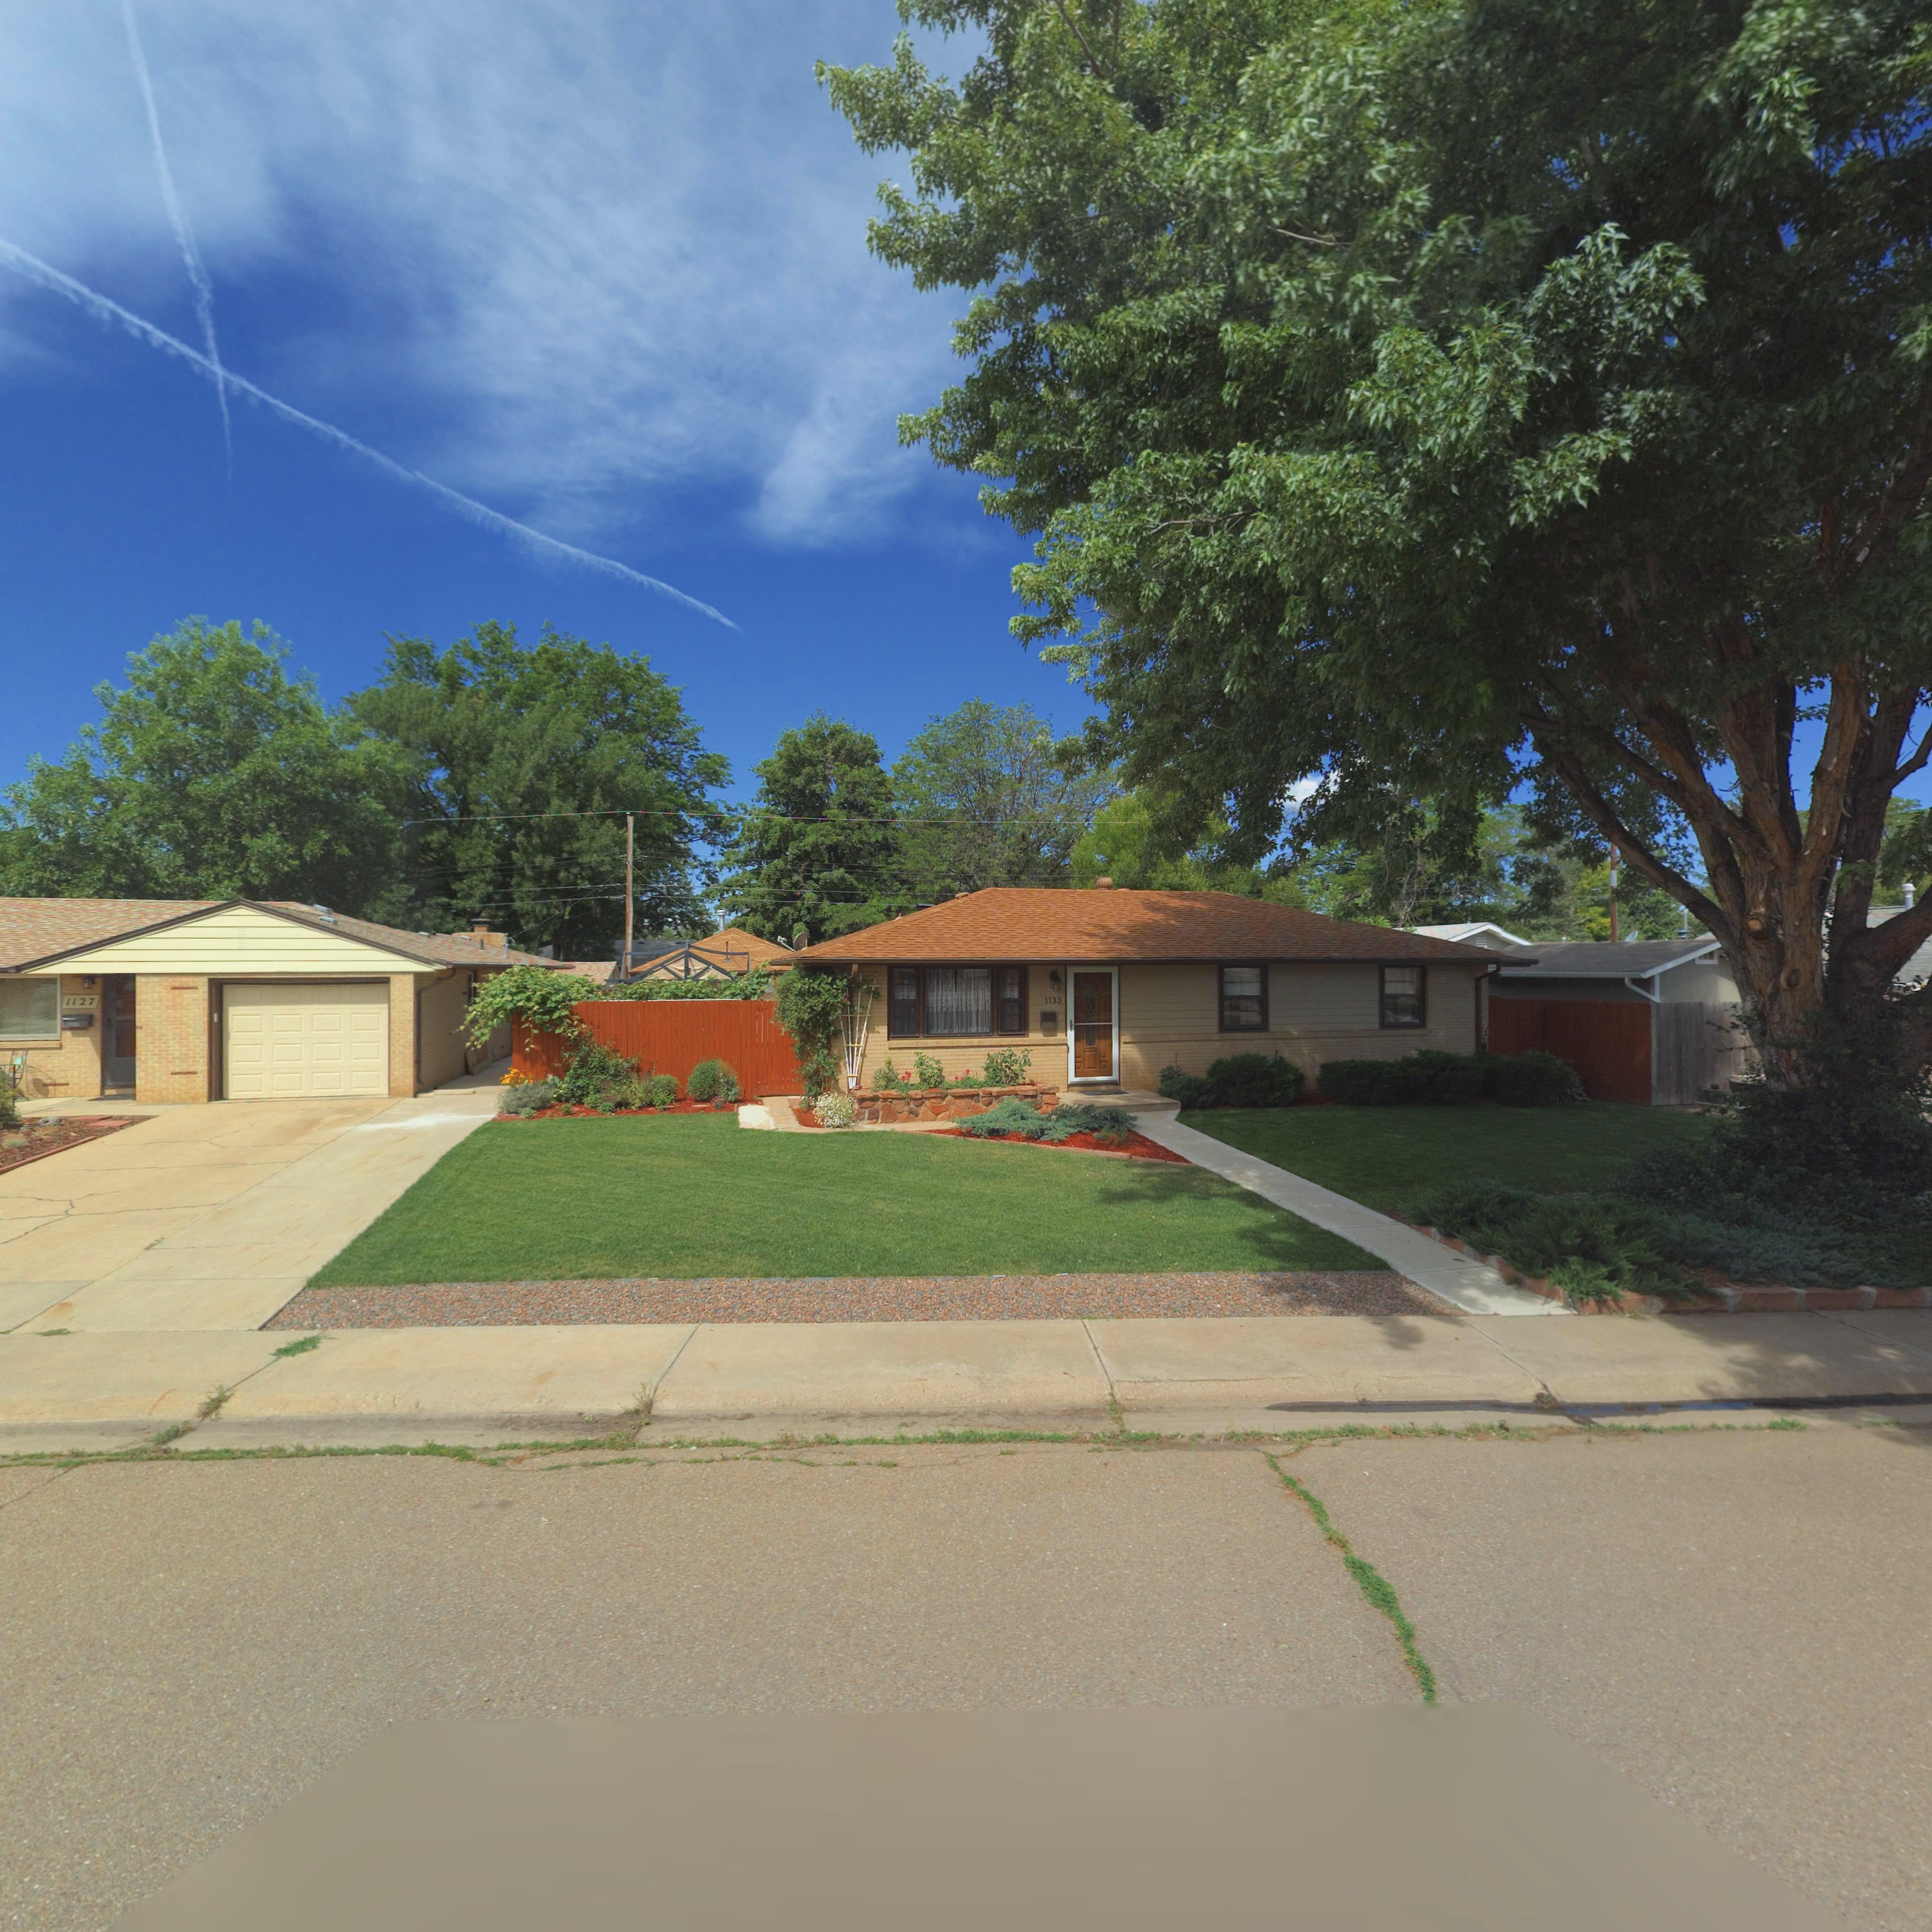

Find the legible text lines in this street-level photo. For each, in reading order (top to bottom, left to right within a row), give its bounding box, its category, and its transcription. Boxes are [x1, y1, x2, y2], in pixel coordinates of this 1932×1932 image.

[66, 997, 96, 1005] StreetNumber: 1127
[1045, 996, 1061, 1004] StreetNumber: 1133